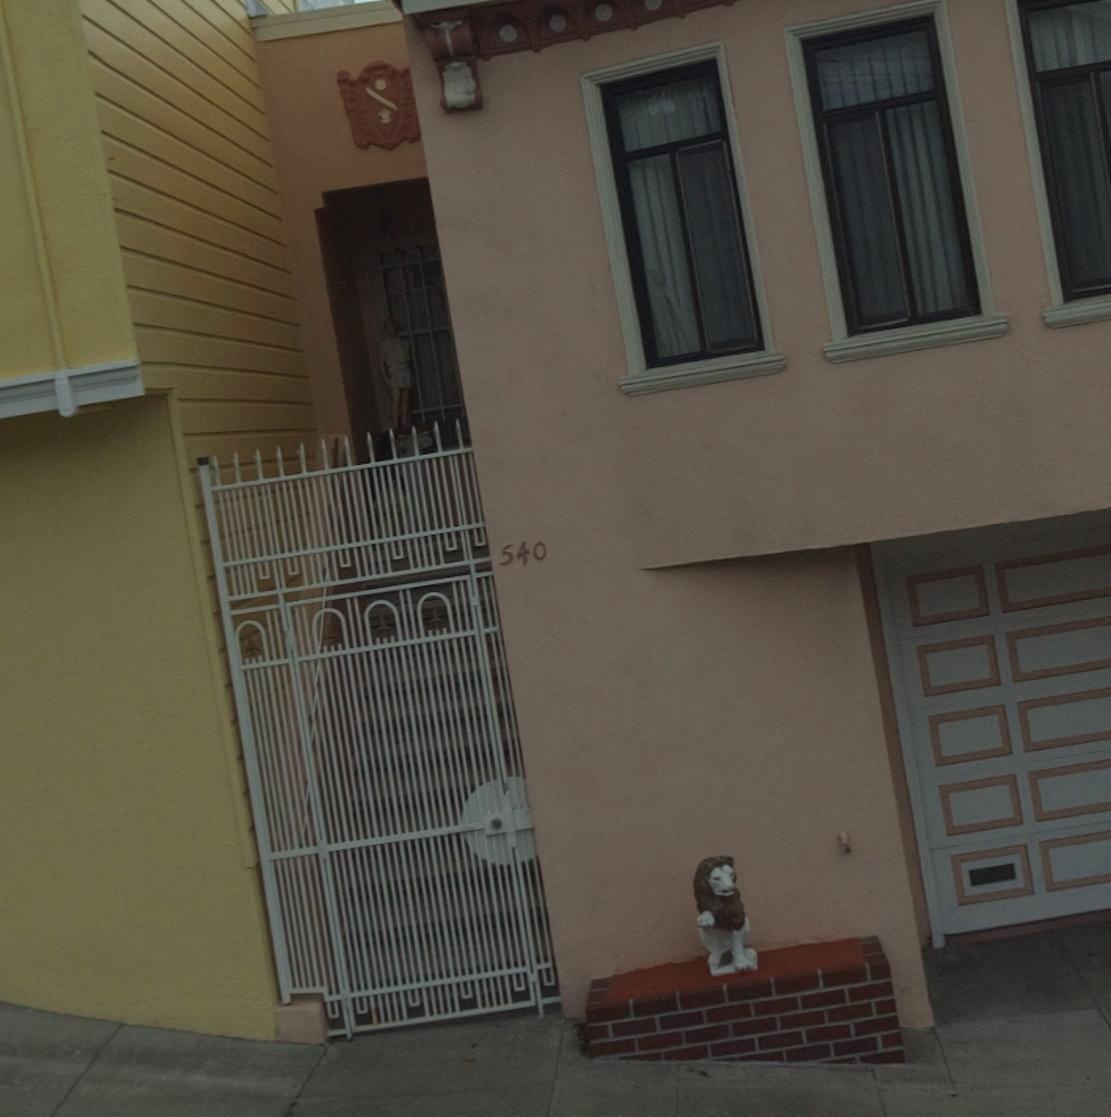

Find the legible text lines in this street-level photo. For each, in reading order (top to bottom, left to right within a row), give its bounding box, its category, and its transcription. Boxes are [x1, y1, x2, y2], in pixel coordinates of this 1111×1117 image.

[499, 538, 548, 567] StreetNumber: 540